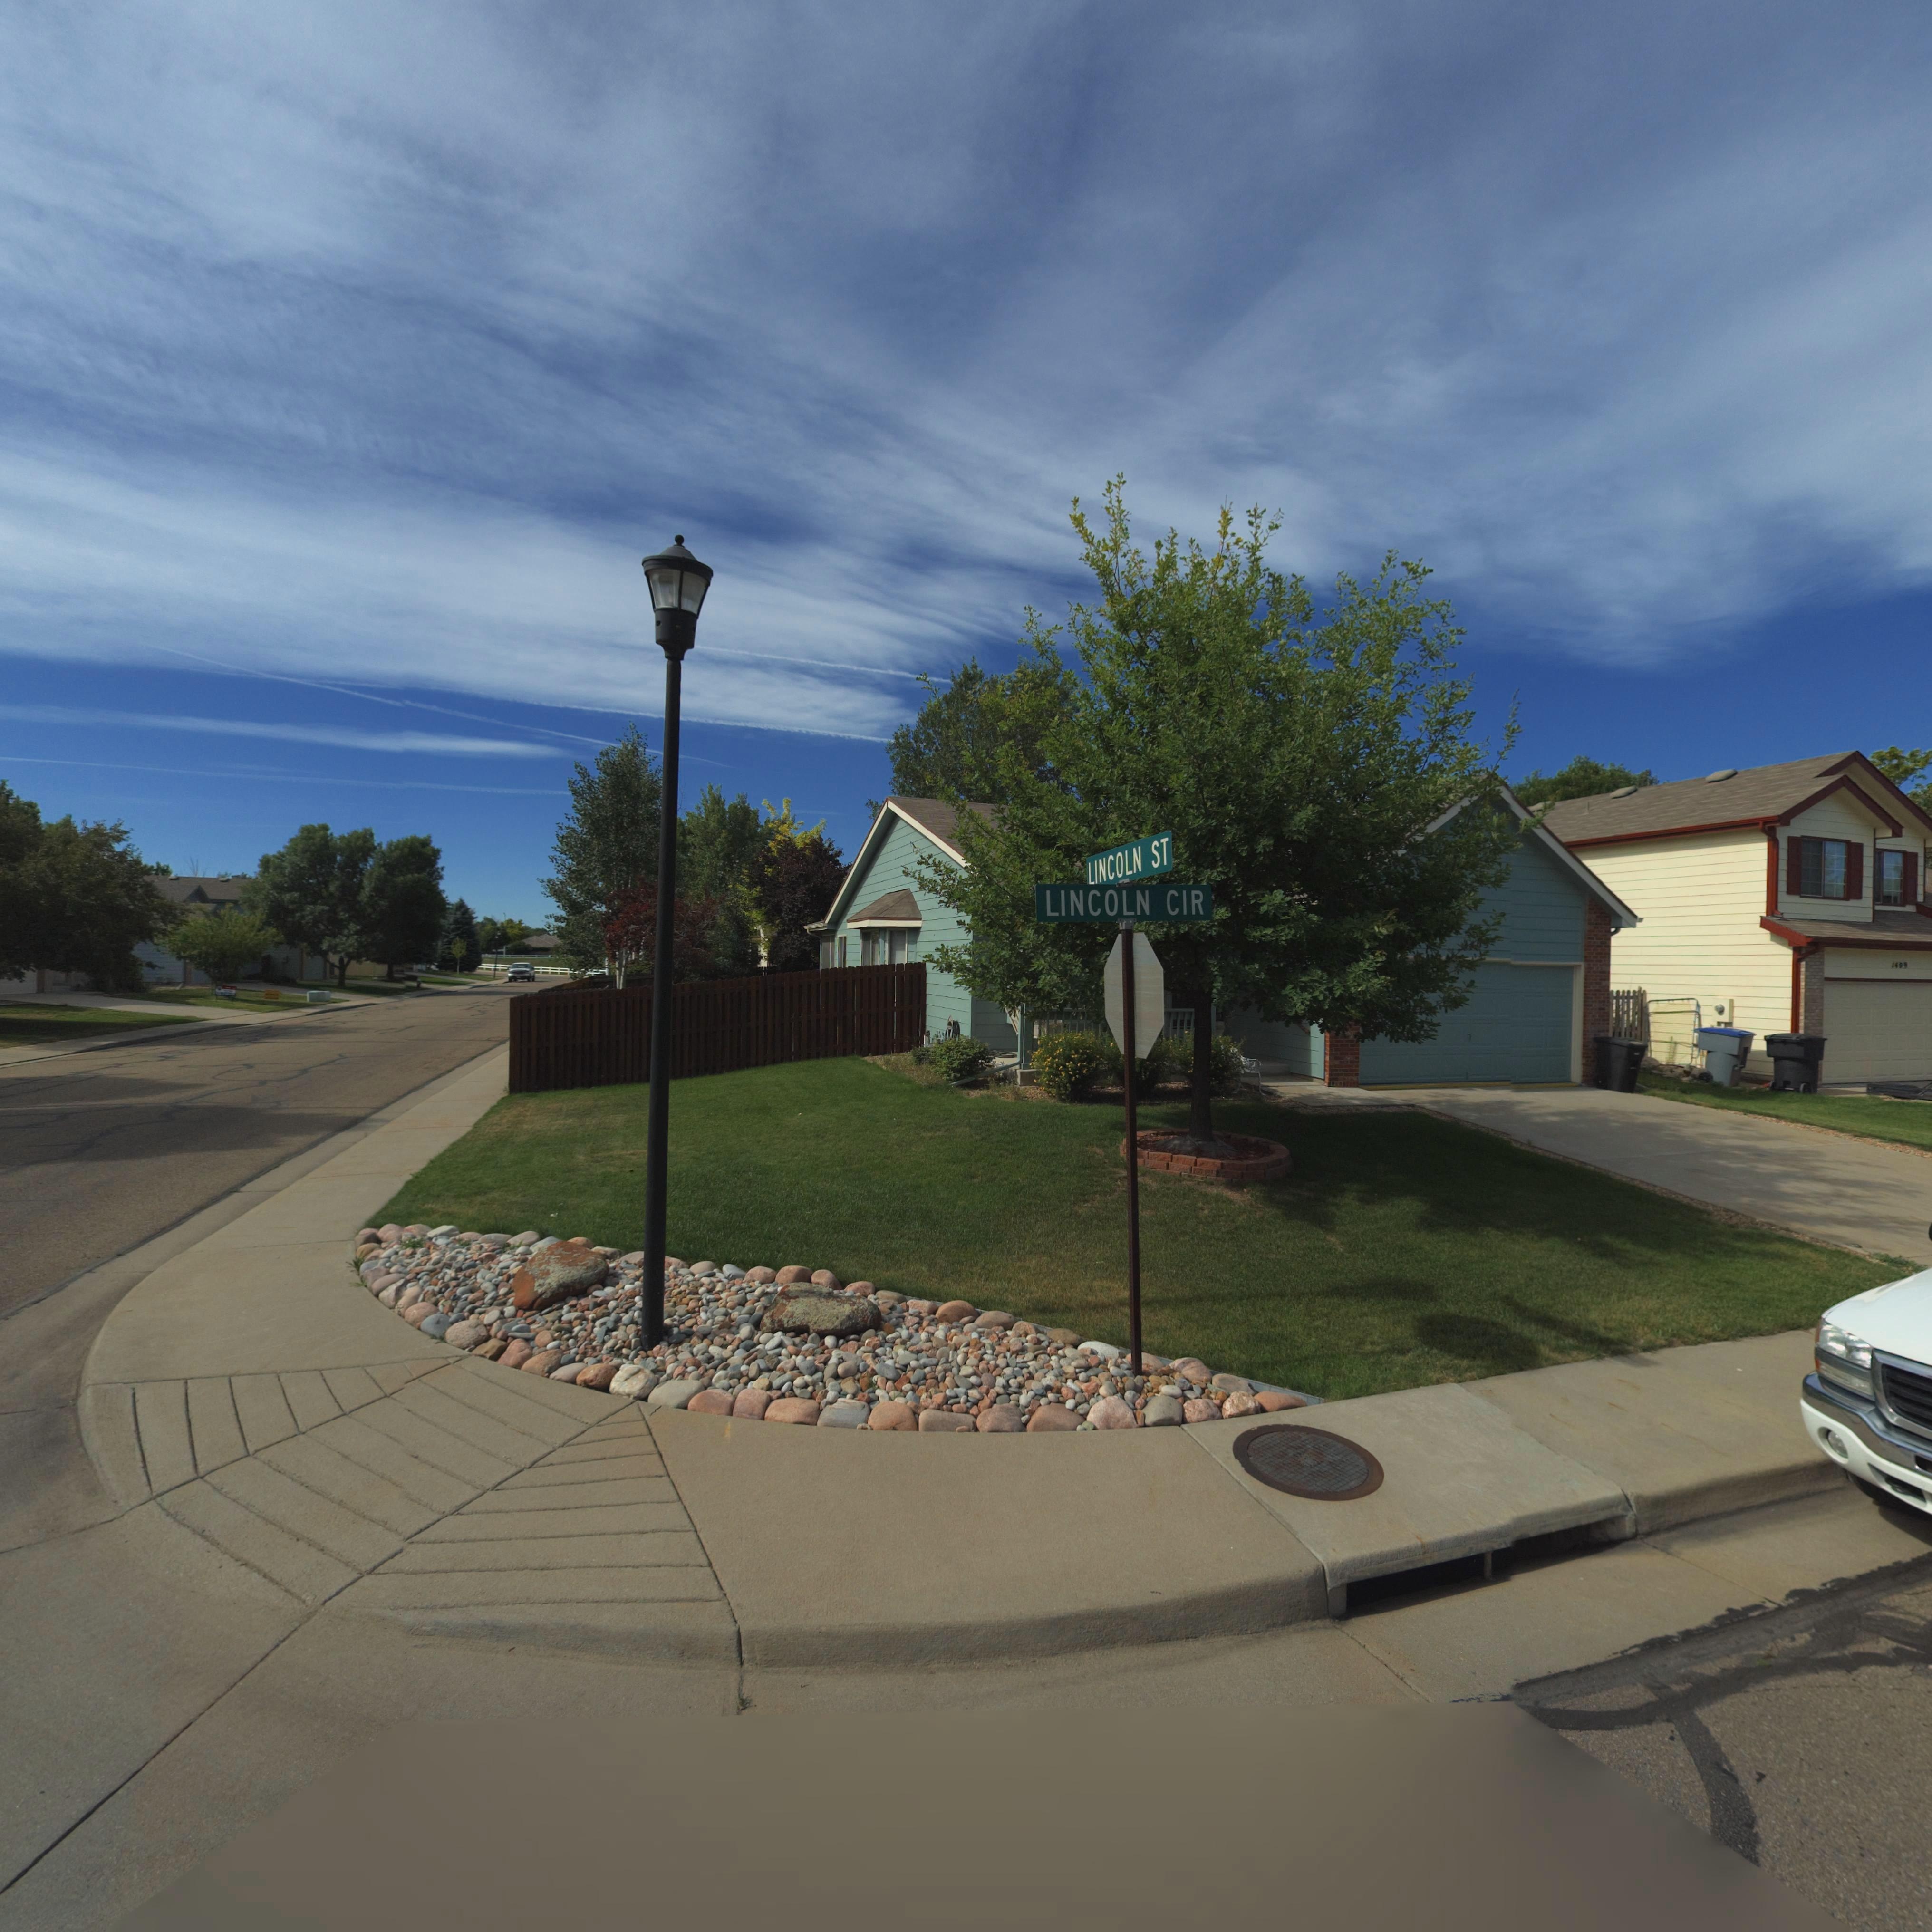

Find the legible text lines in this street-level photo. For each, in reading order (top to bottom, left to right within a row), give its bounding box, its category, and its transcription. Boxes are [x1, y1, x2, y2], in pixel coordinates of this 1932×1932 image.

[1088, 836, 1169, 886] StreetName: LINCOLN ST
[1045, 889, 1204, 916] StreetName: LINCOLN CIR
[1892, 961, 1908, 969] StreetNumber: 1409